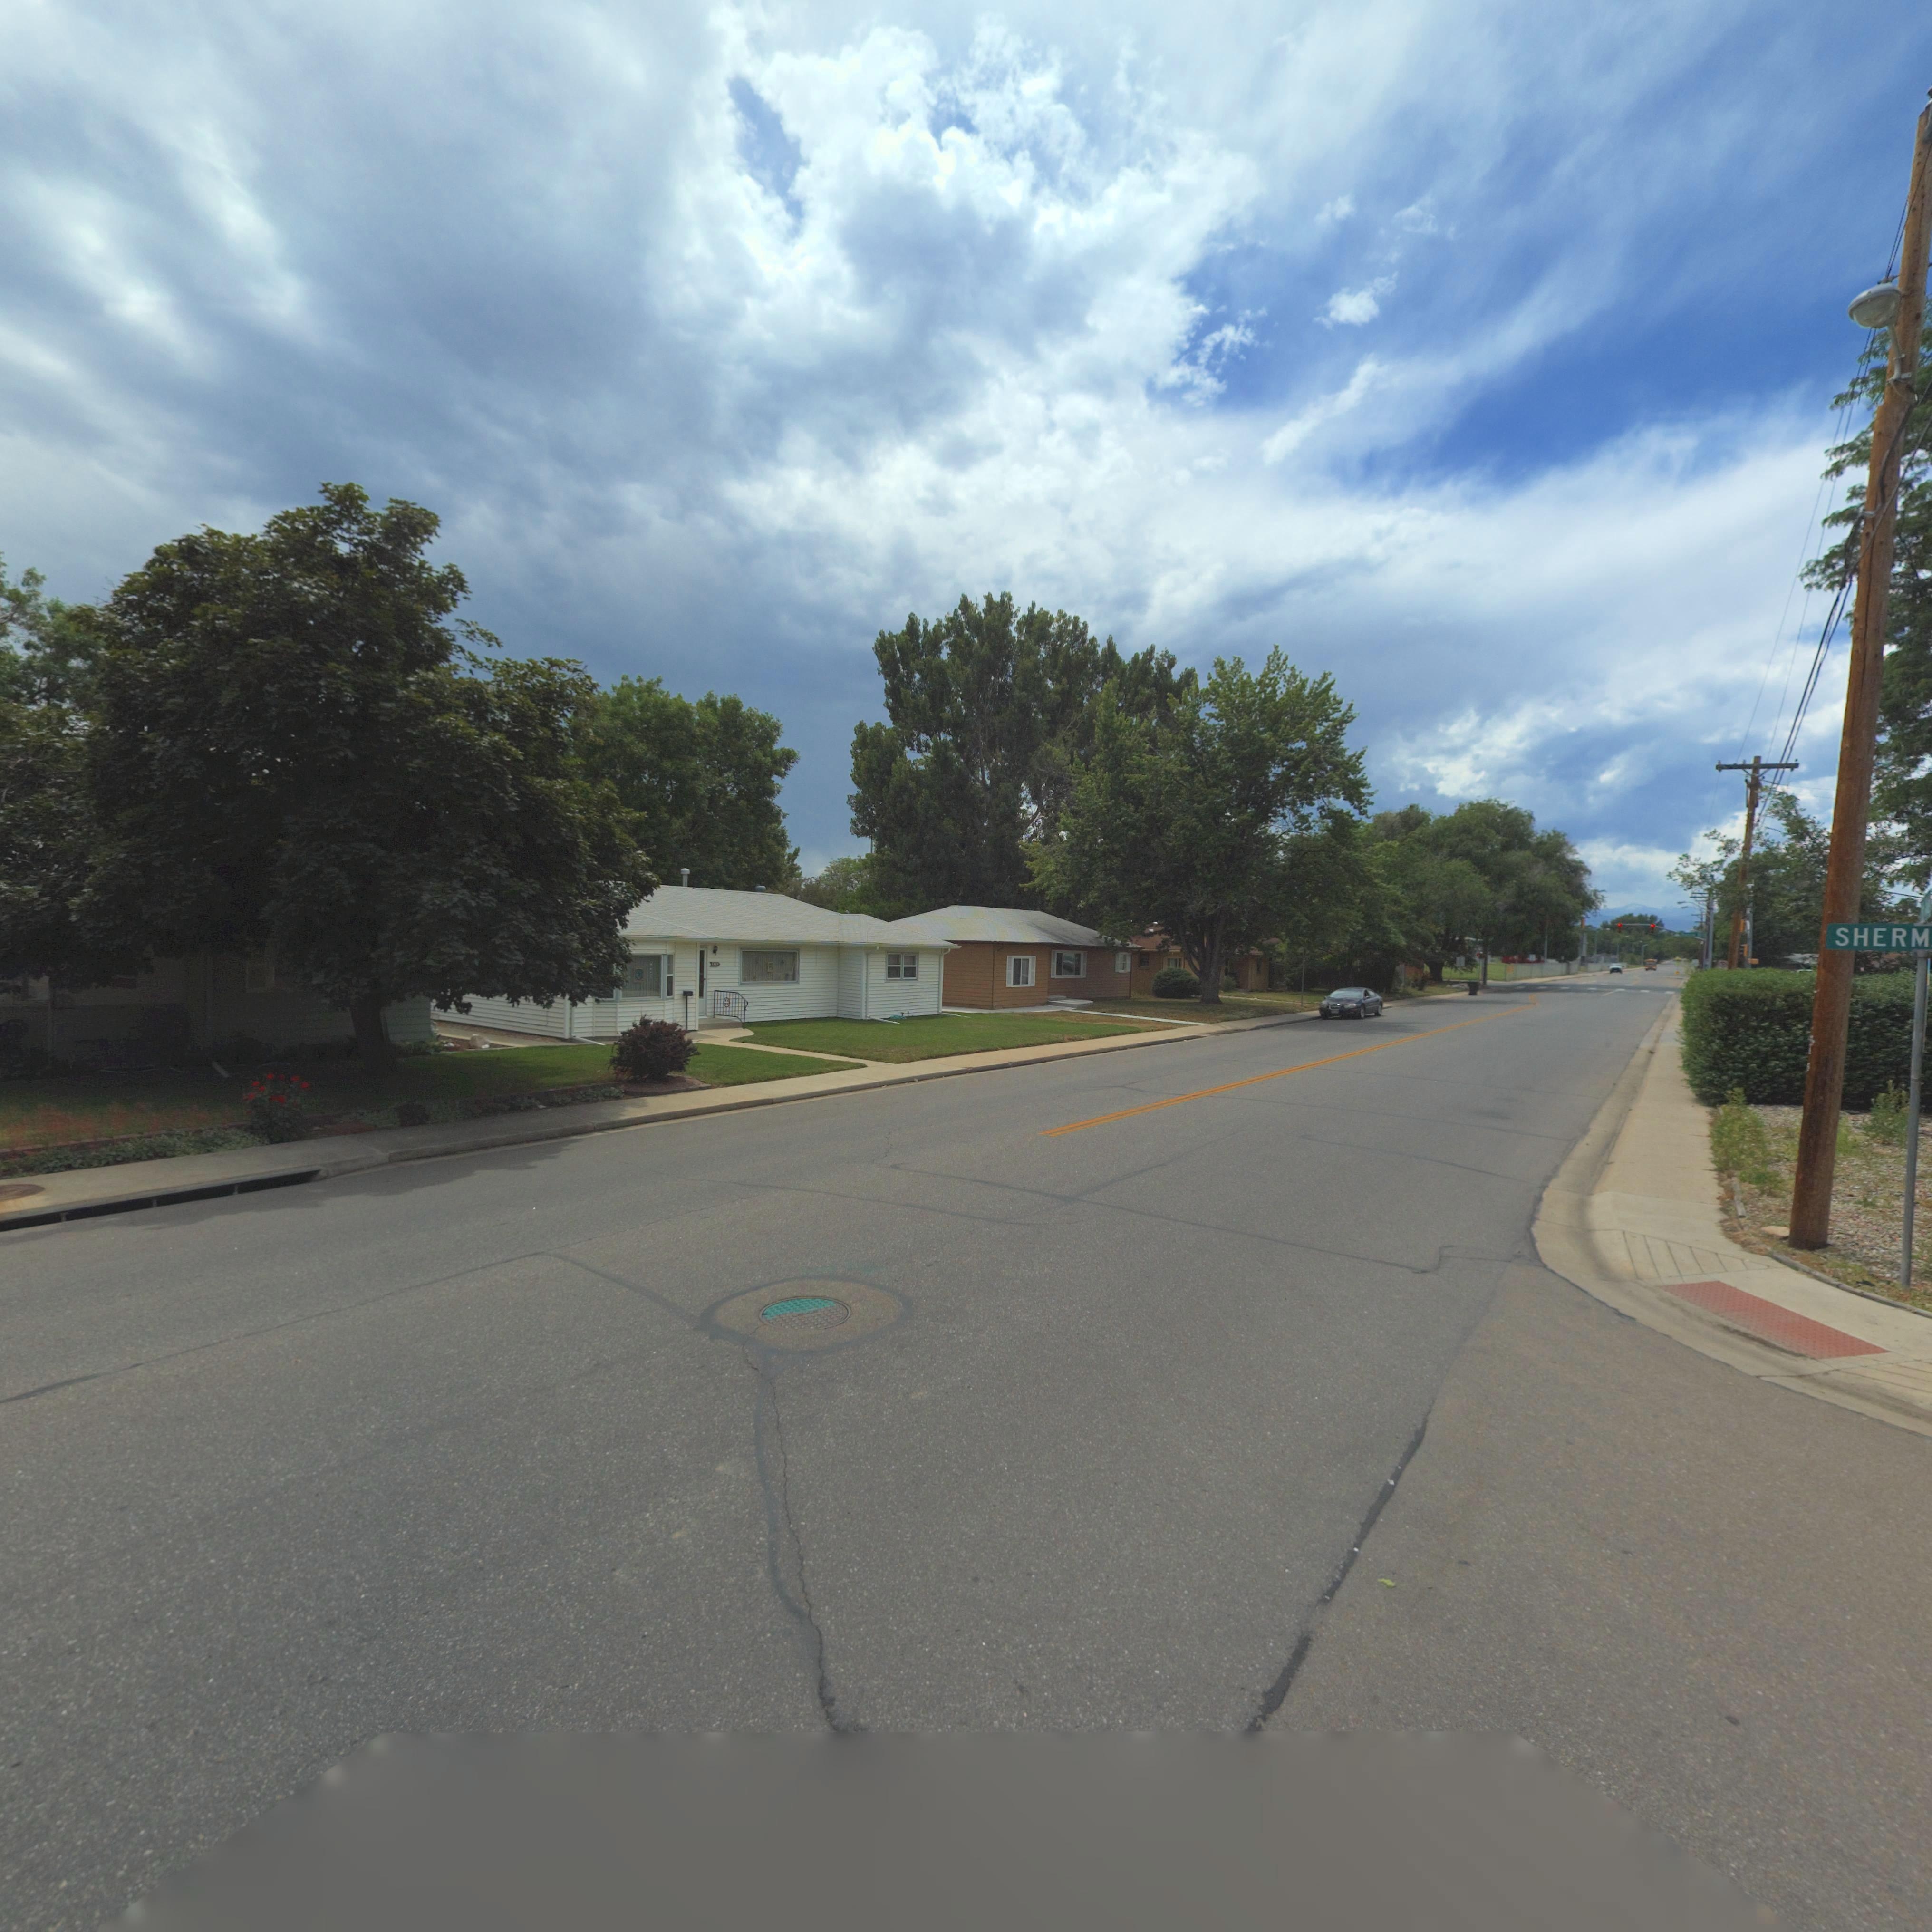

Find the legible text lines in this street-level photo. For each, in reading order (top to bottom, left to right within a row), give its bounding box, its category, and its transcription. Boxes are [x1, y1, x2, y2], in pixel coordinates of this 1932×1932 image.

[1834, 927, 1930, 948] StreetName: SHERM
[711, 962, 719, 966] StreetNumber: 16**